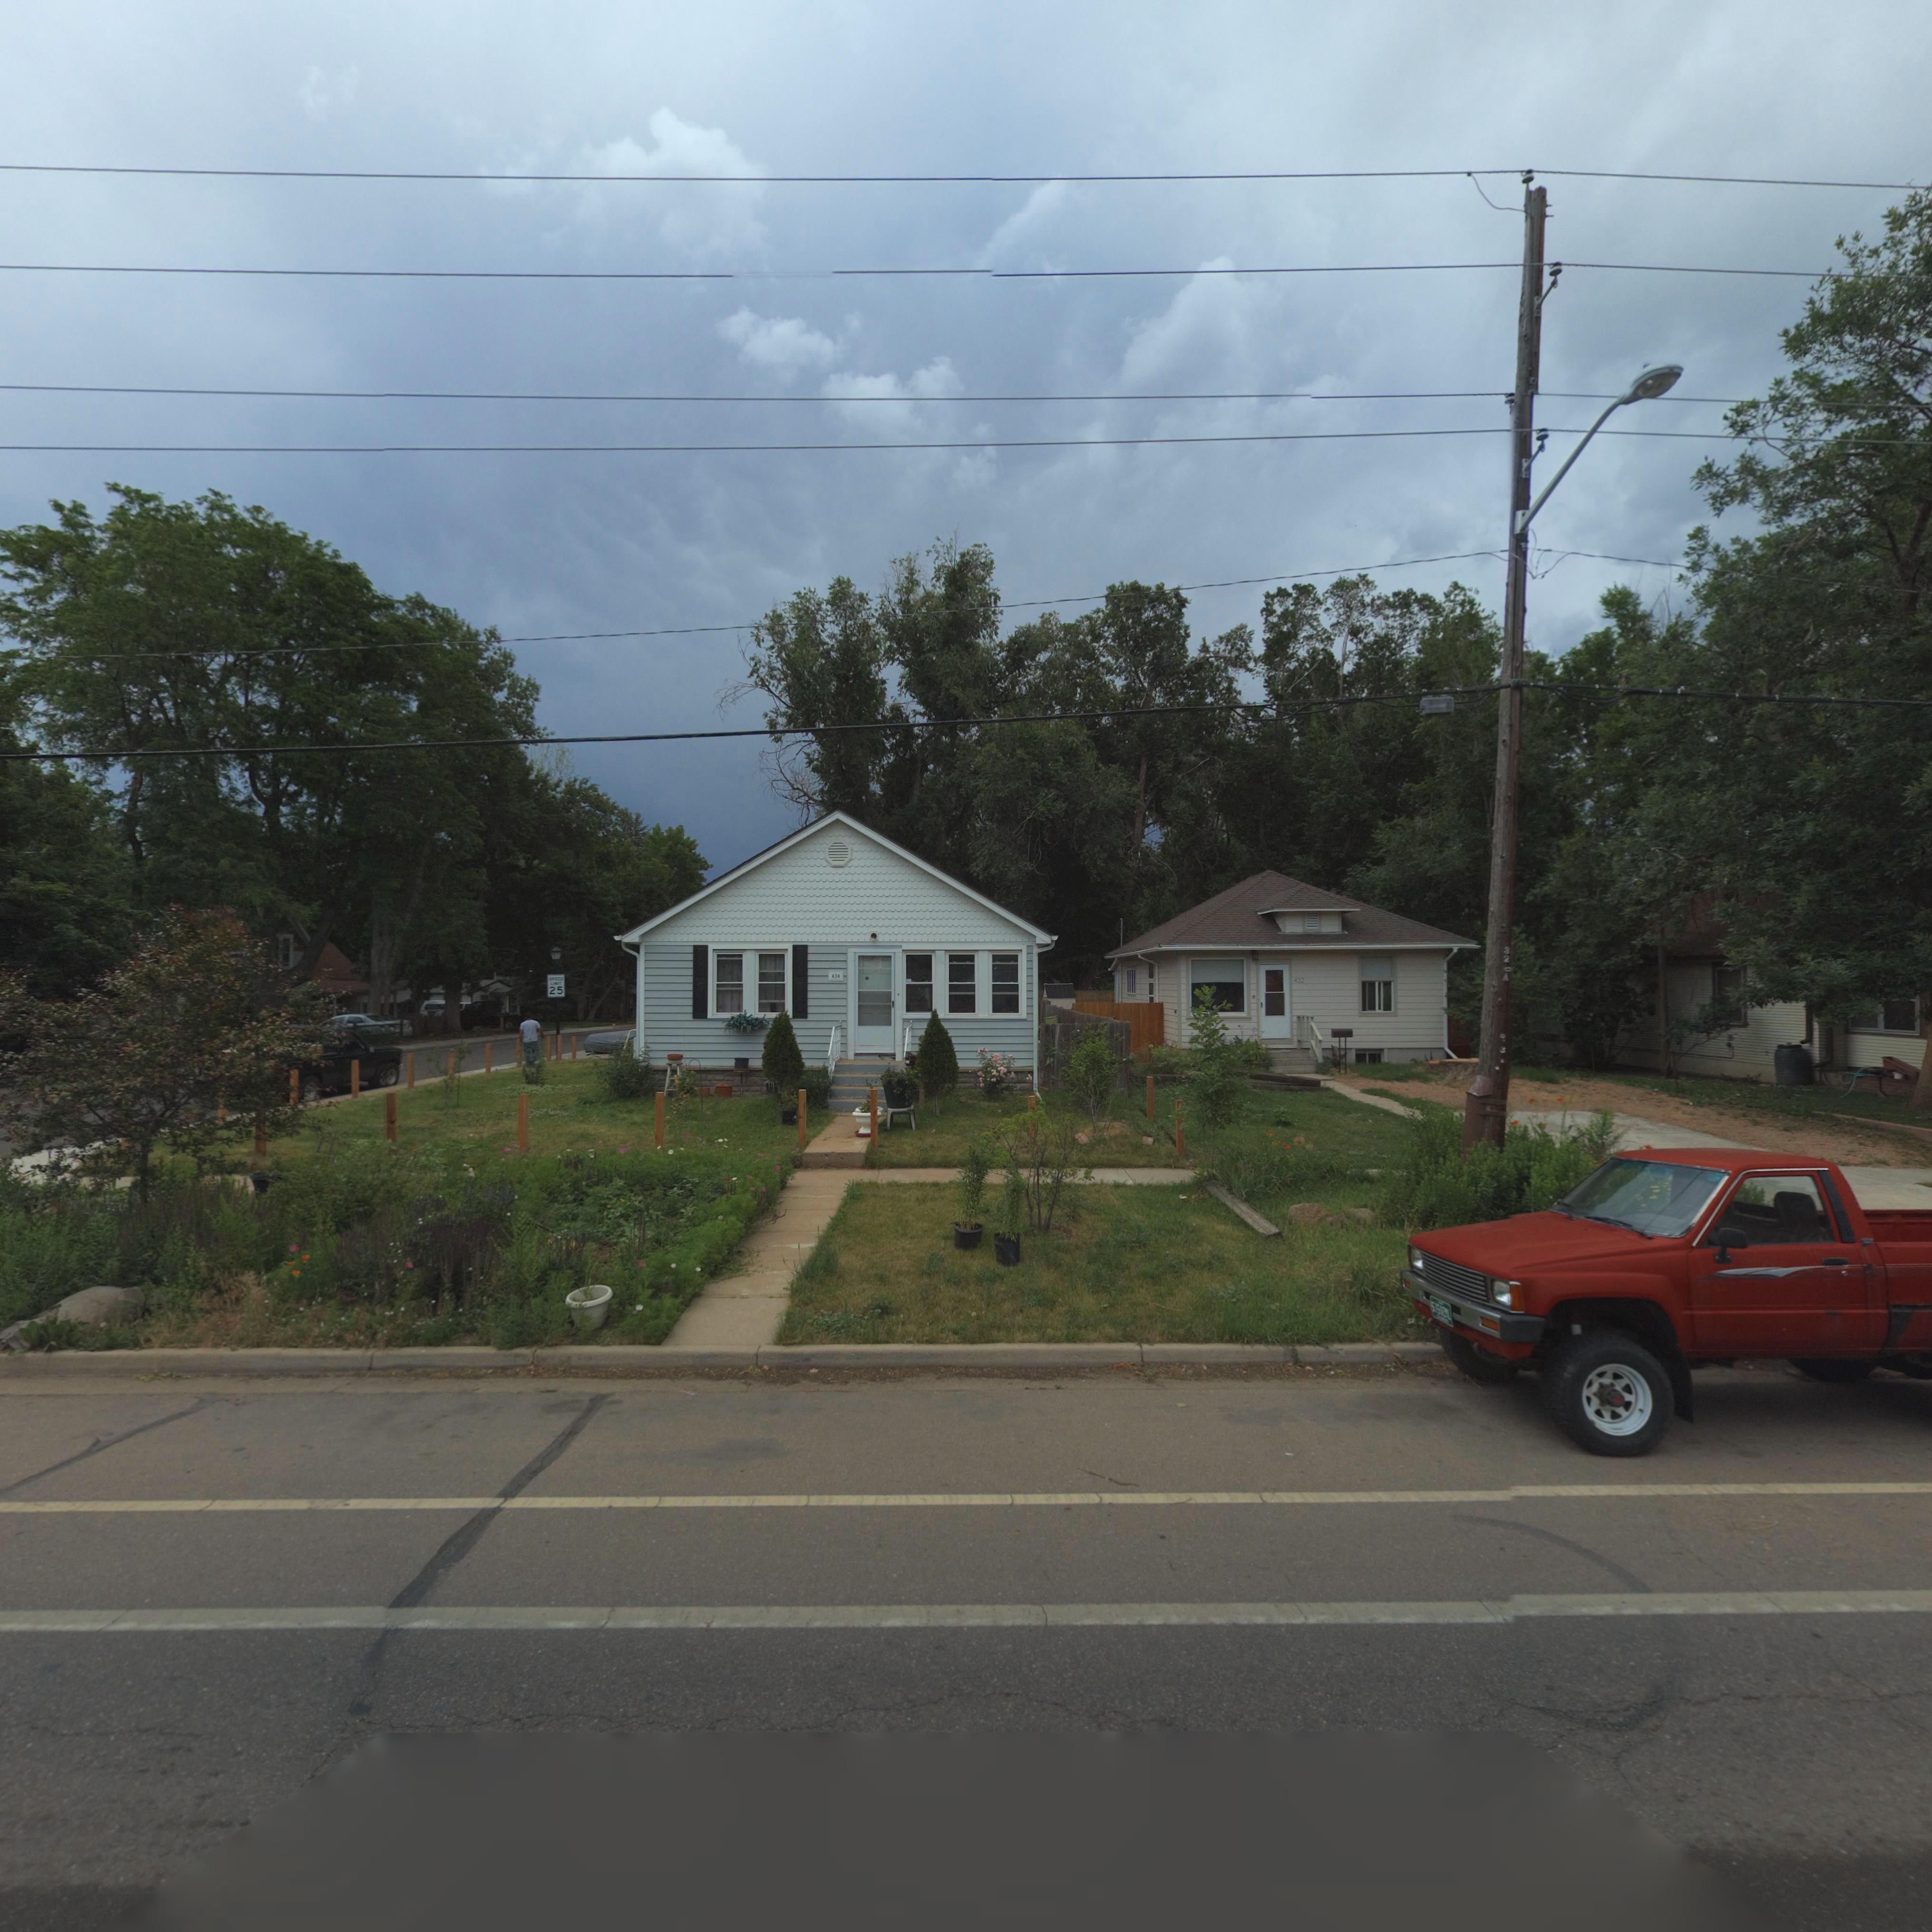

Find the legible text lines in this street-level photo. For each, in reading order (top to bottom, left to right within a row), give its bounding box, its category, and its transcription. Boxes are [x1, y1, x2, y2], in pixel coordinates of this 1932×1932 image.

[831, 973, 840, 978] StreetNumber: 434
[1293, 977, 1304, 983] StreetNumber: 432